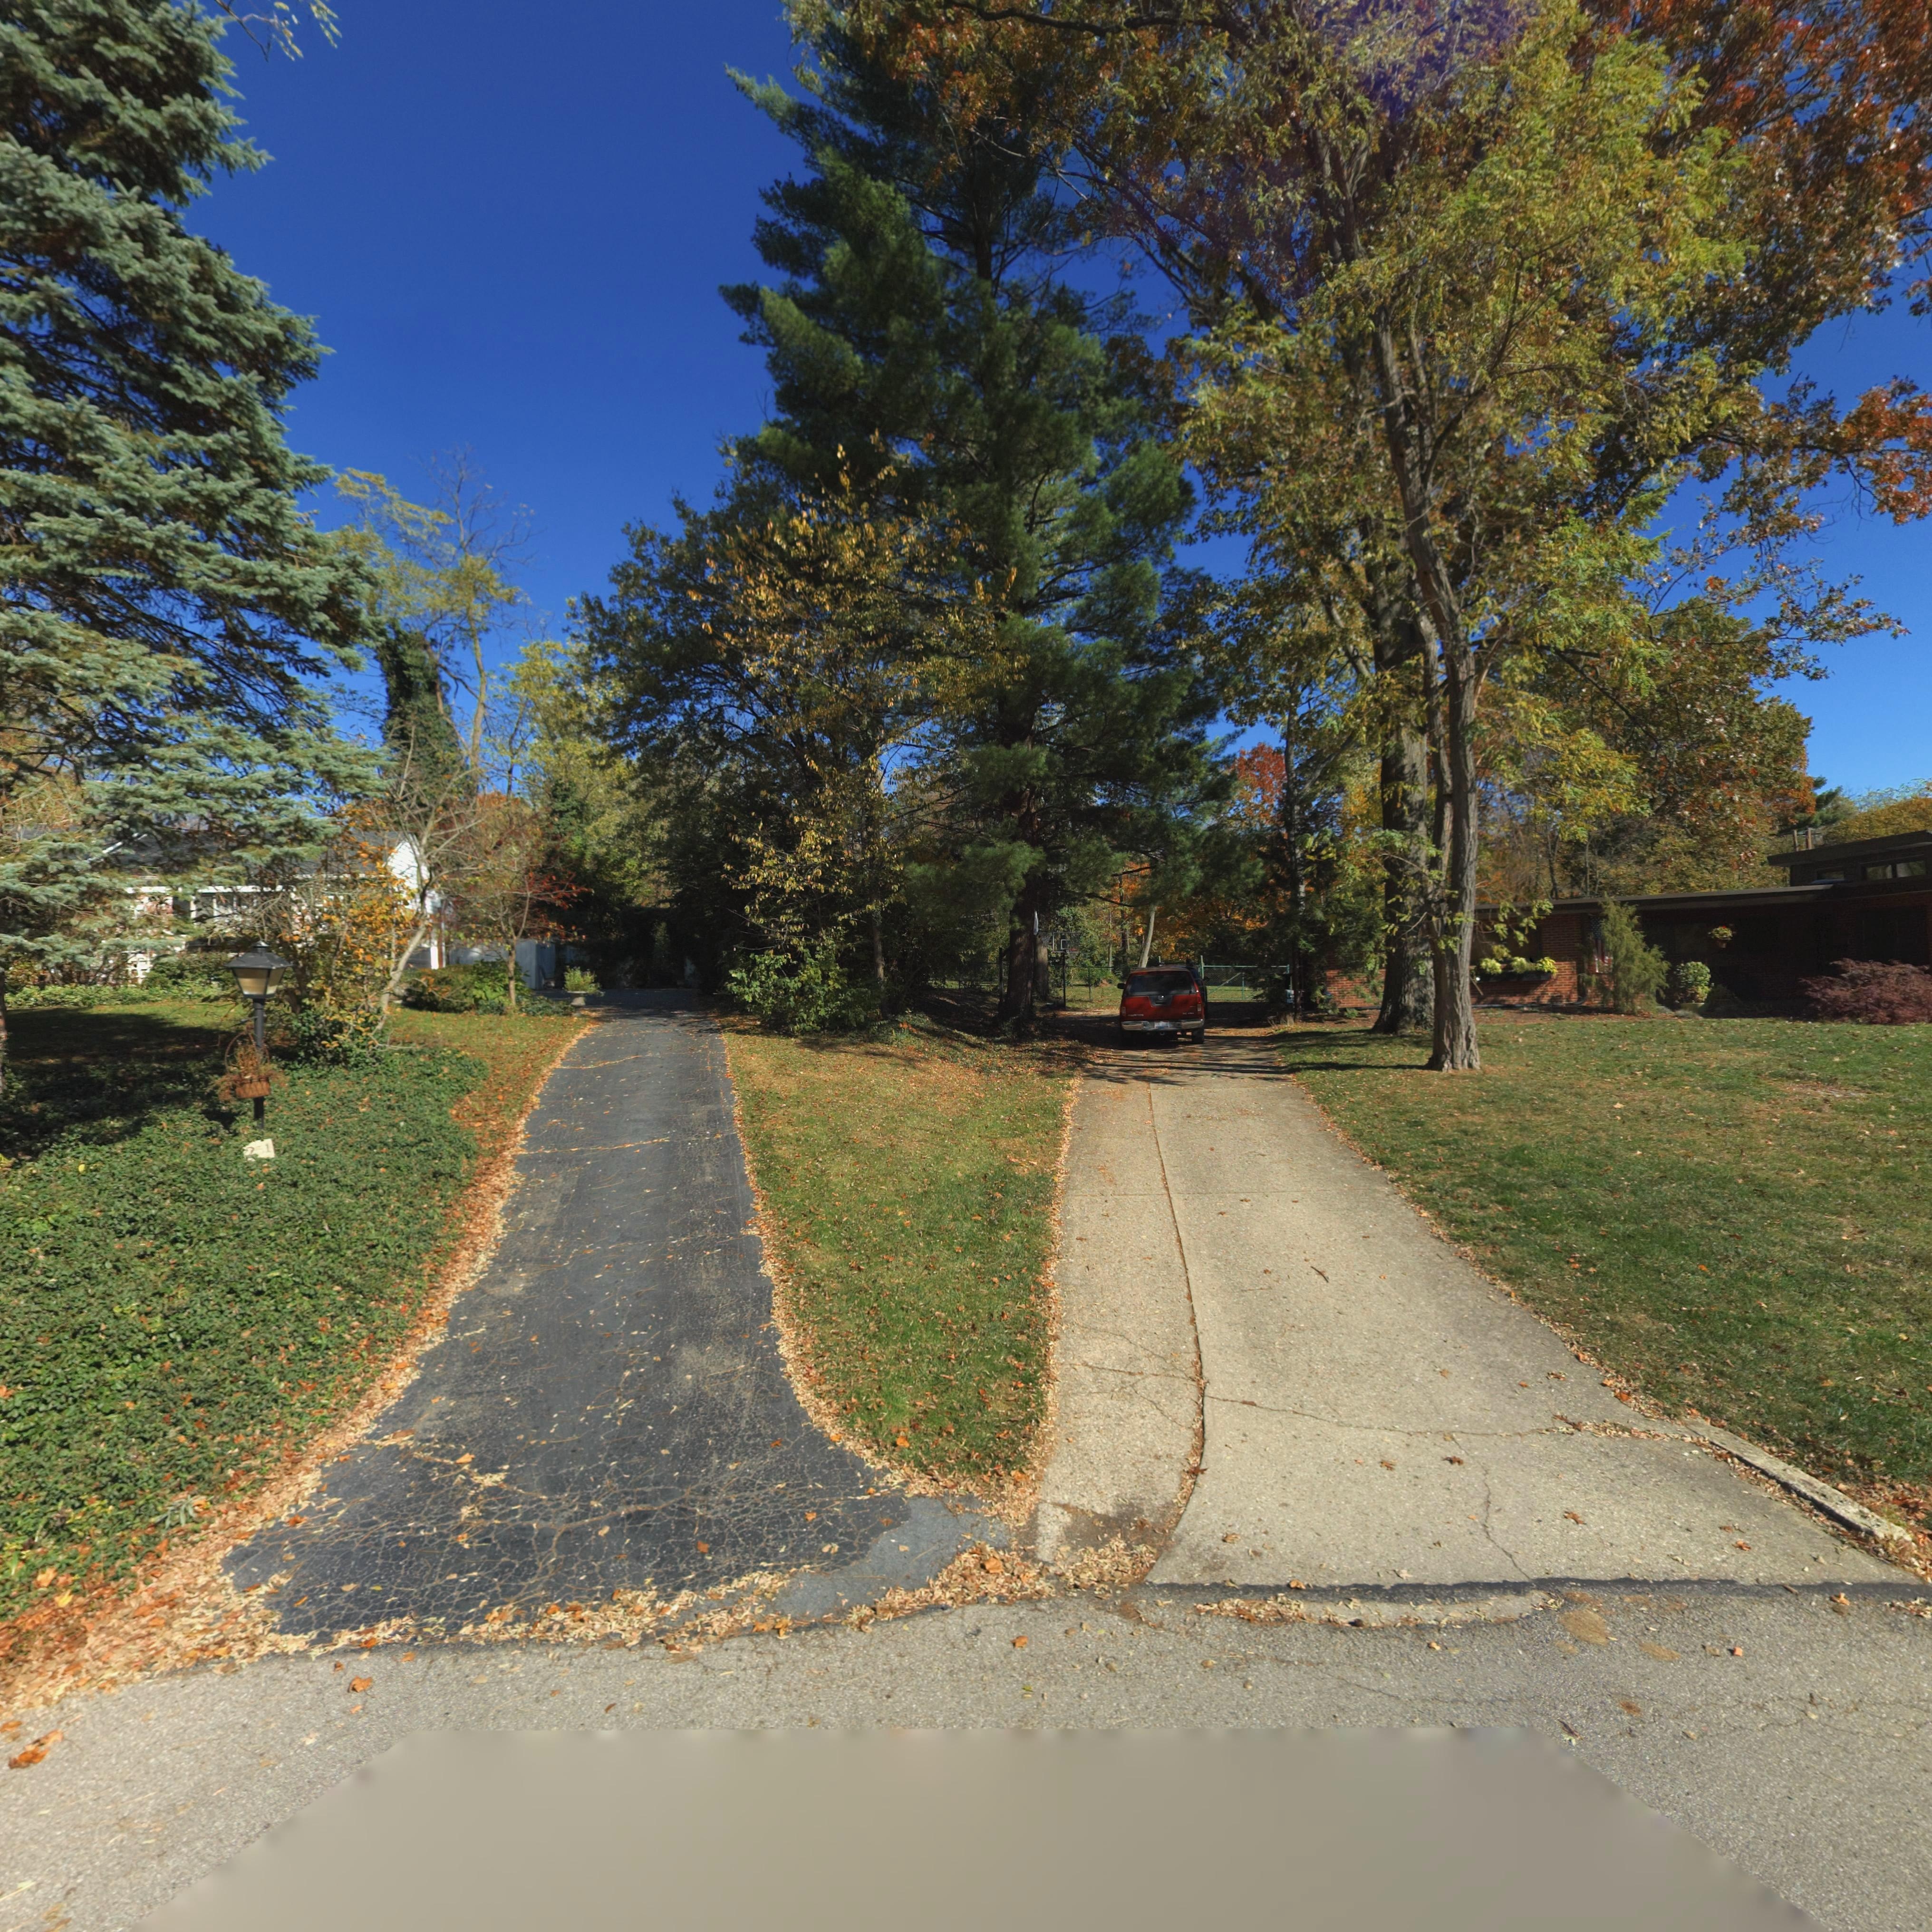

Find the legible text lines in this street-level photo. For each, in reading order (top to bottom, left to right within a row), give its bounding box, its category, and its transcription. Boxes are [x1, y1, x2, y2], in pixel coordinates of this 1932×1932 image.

[254, 1140, 273, 1157] StreetNumber: *1